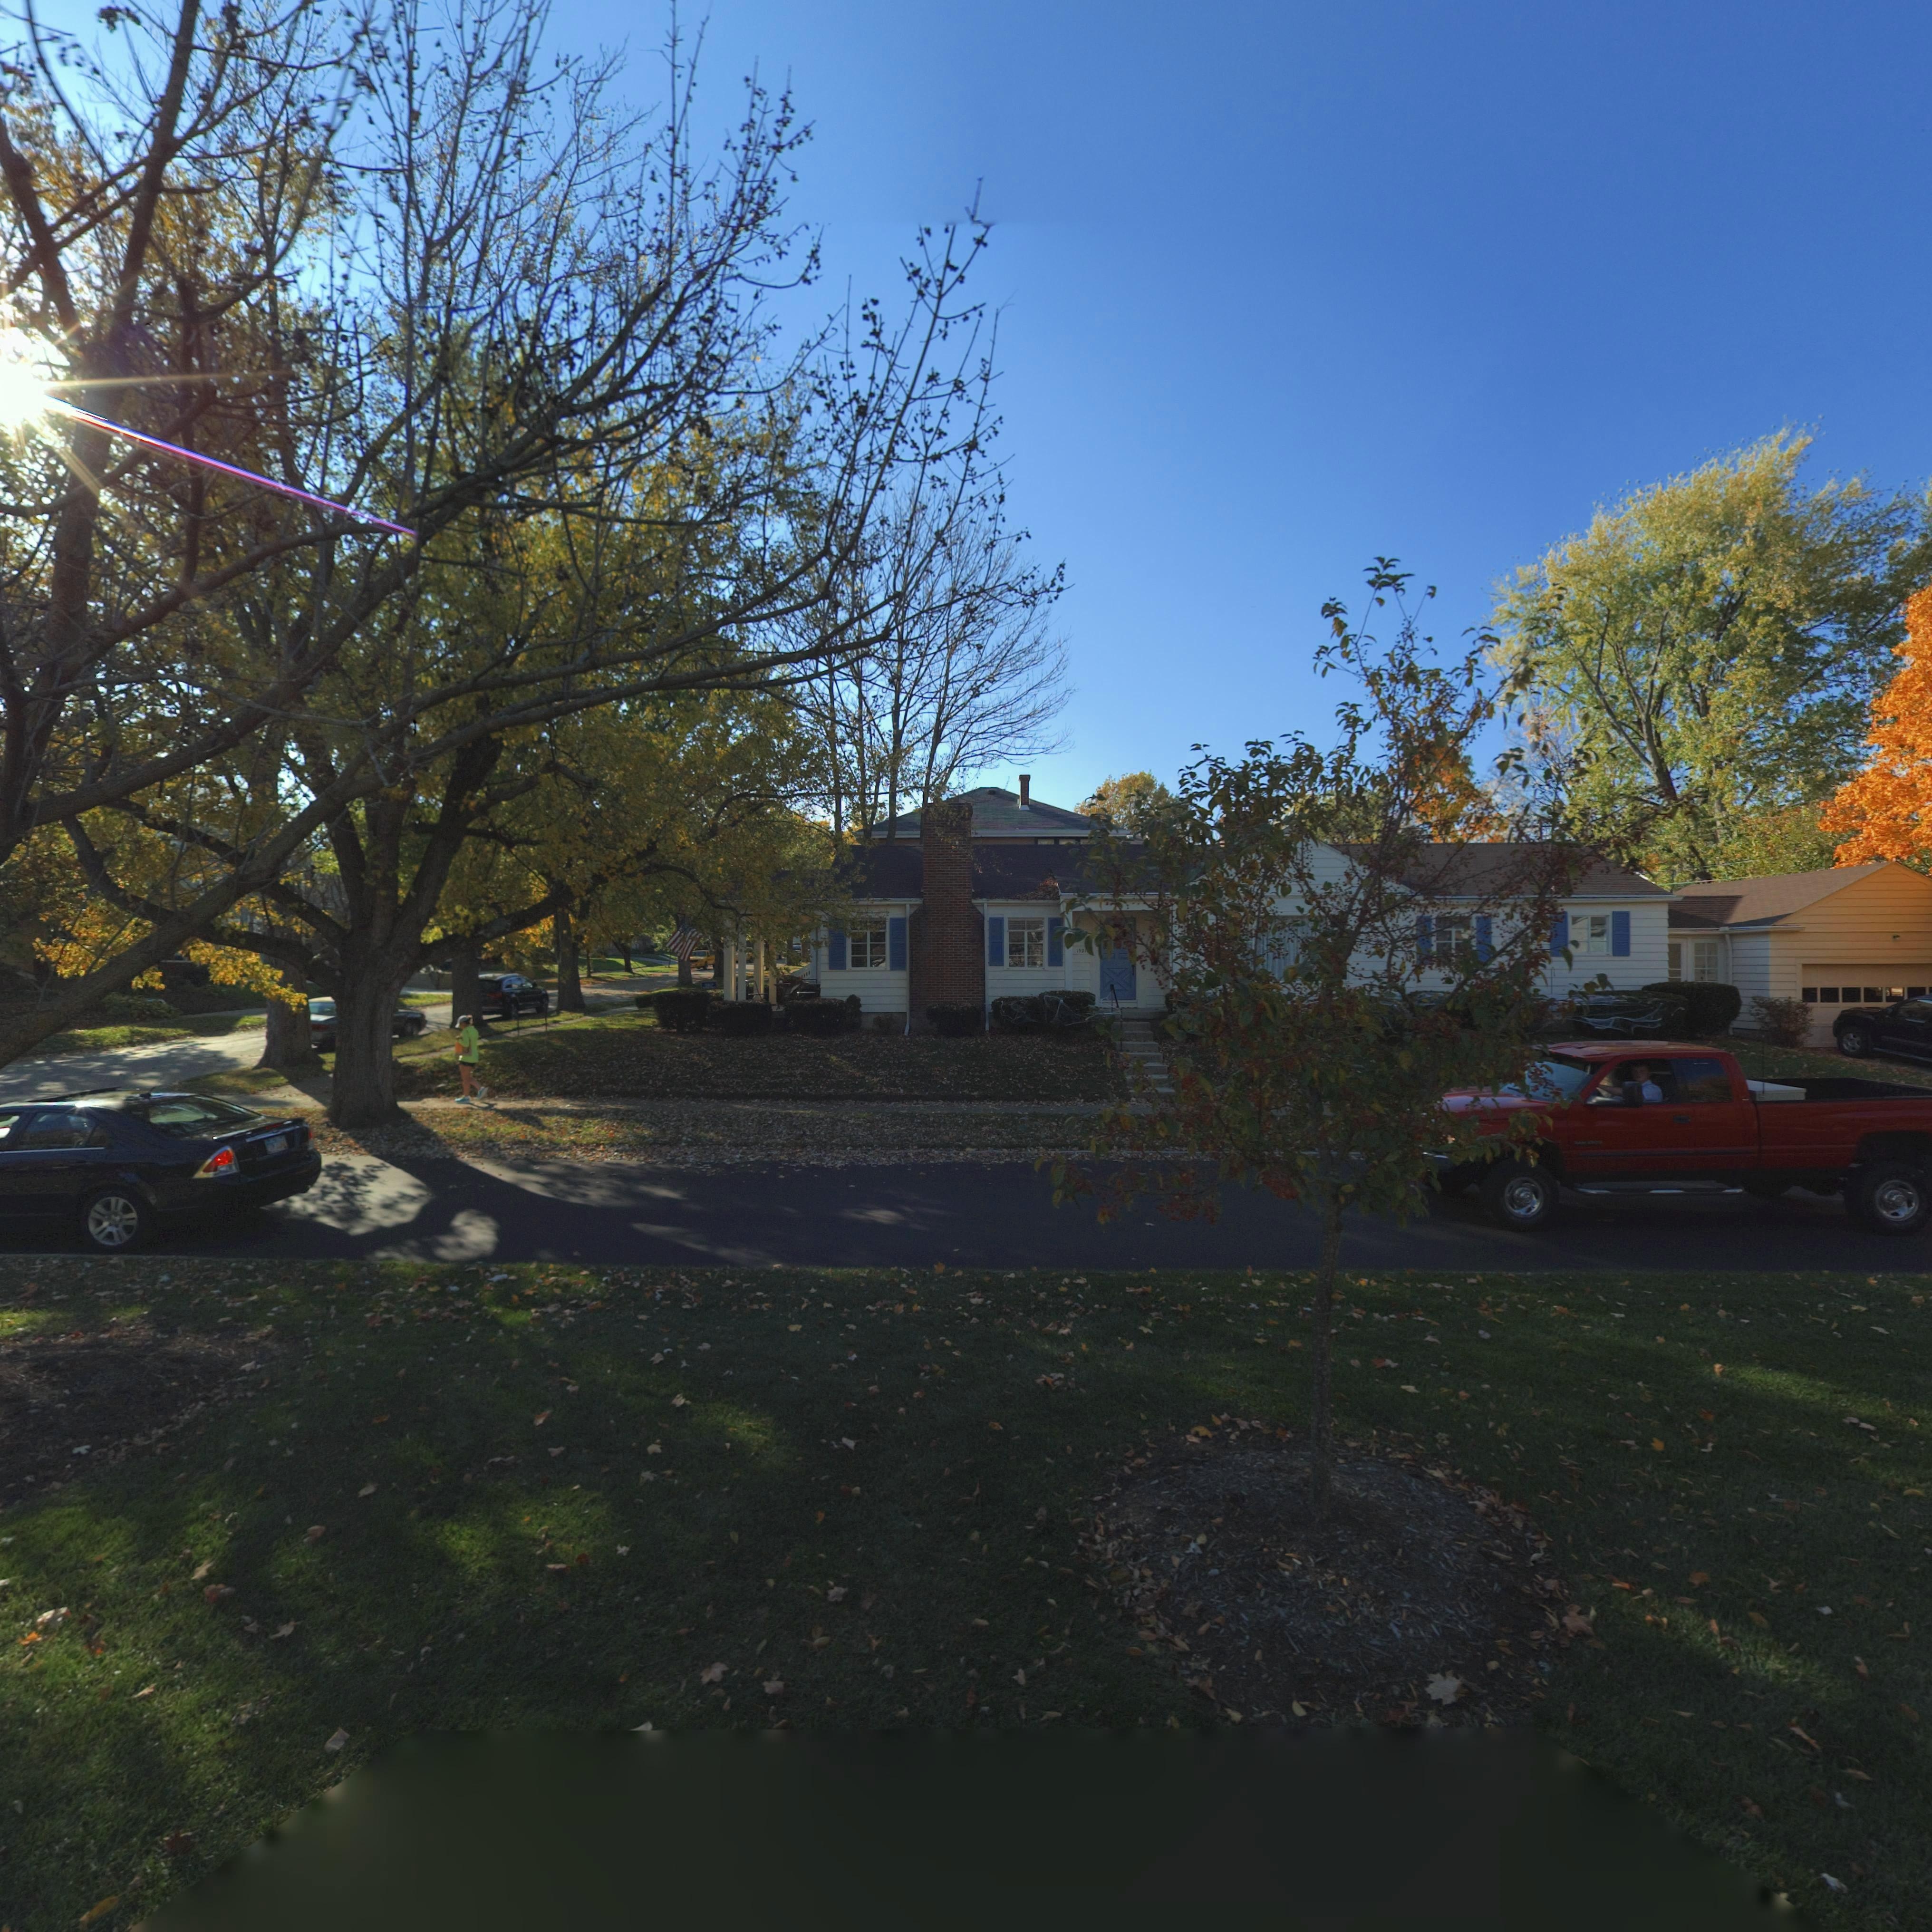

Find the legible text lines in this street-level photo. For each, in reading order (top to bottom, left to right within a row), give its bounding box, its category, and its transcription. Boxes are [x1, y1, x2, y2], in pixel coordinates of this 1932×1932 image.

[1076, 948, 1086, 953] StreetNumber: 1921